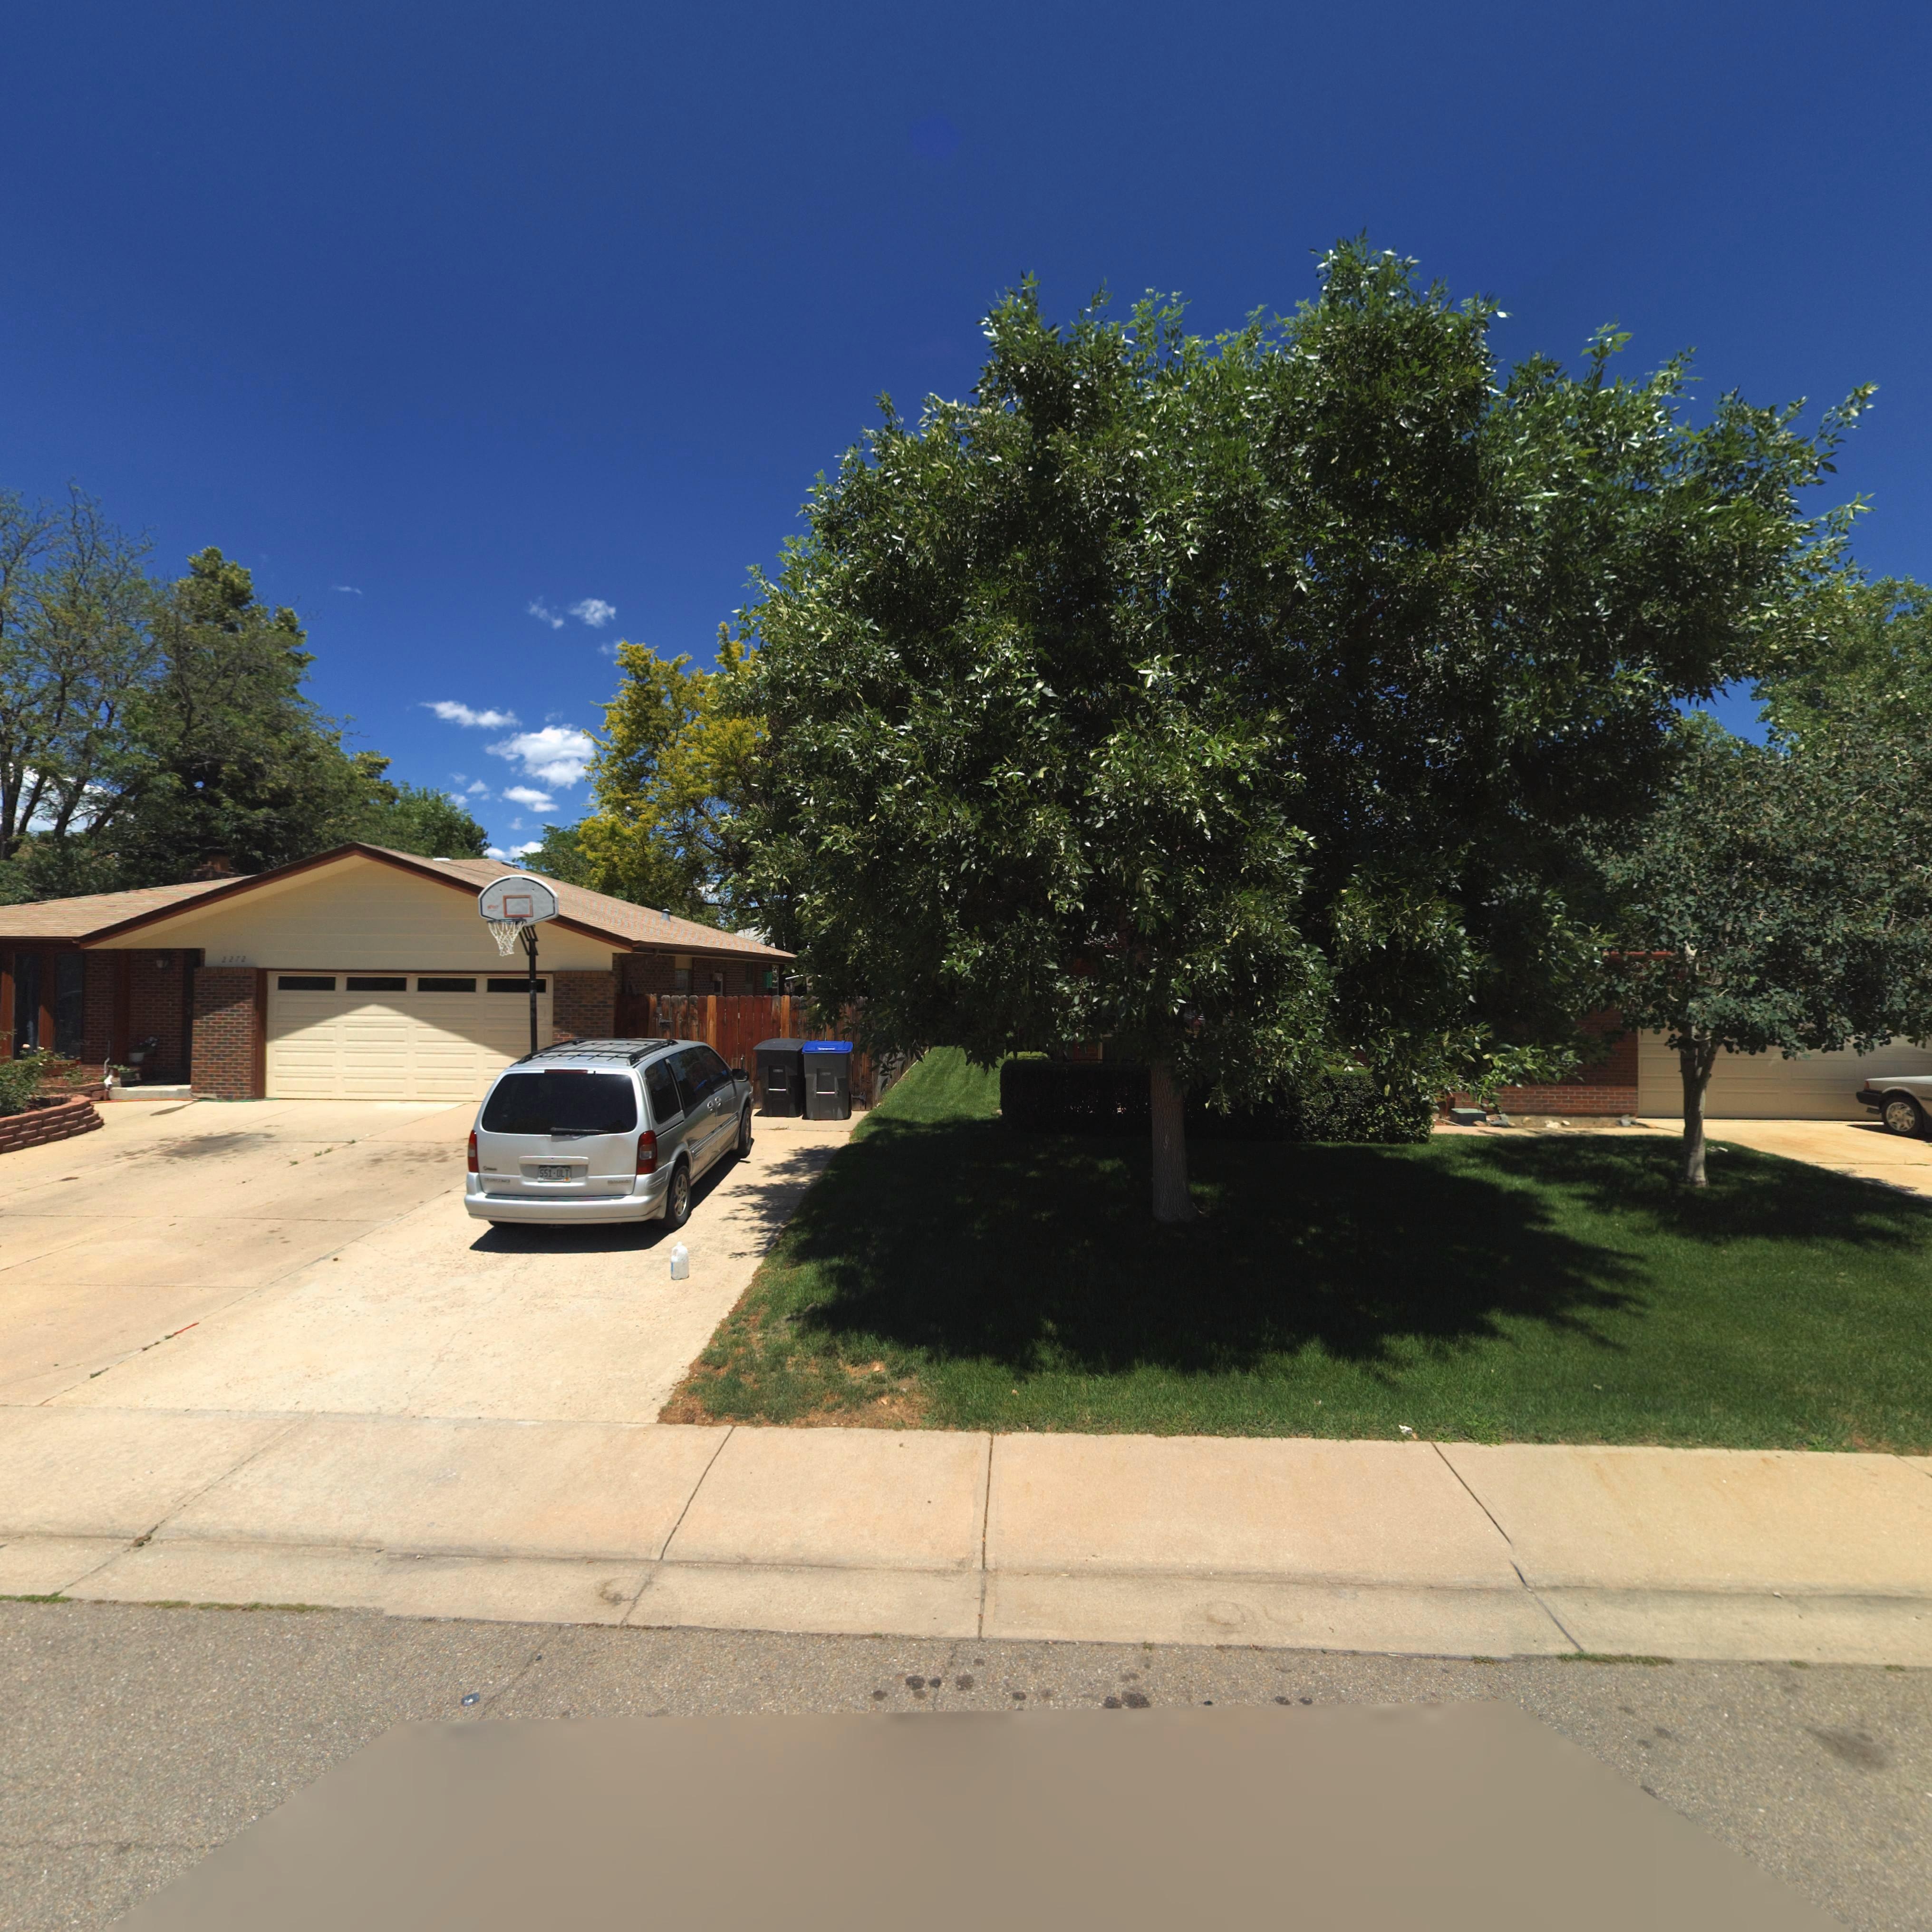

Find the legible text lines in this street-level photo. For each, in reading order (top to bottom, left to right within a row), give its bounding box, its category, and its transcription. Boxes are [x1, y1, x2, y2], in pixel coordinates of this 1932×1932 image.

[221, 955, 245, 963] StreetNumber: 2272